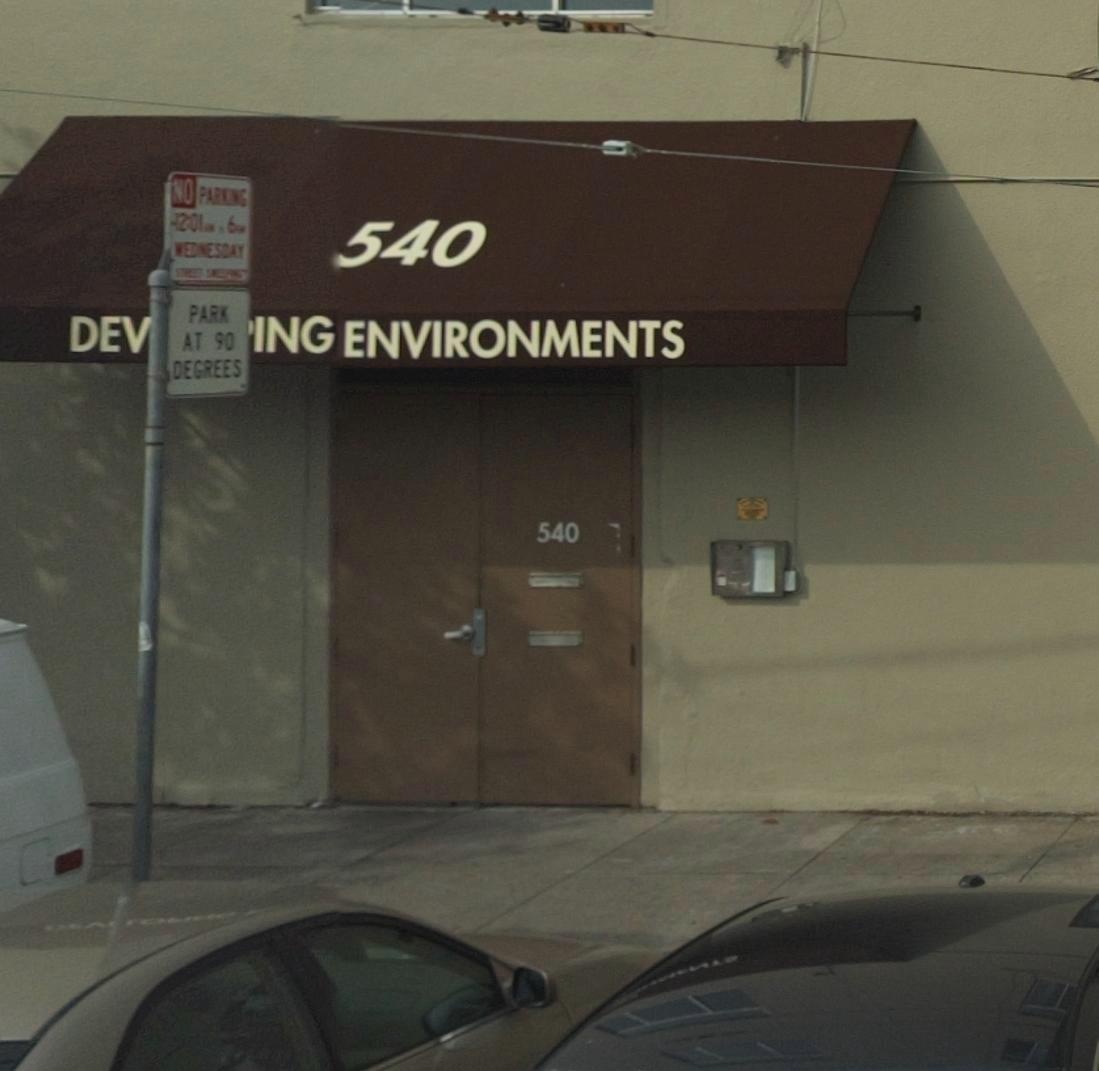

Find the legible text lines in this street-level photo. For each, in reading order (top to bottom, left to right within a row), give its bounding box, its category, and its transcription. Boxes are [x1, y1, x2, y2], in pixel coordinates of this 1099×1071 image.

[171, 175, 249, 209] None: NO PARKING
[172, 210, 207, 233] None: 12:01
[225, 213, 237, 236] None: 6
[172, 239, 248, 261] None: WEDNESDAY
[329, 218, 490, 271] StreetNumber: 540
[187, 303, 232, 325] None: PARK
[67, 313, 156, 355] BusinessName: DEV
[179, 327, 238, 353] None: AT 90
[251, 312, 689, 362] BusinessName: ING ENVIRONMENTS
[171, 357, 244, 381] None: DEGREES
[534, 519, 582, 546] StreetNumber: 540